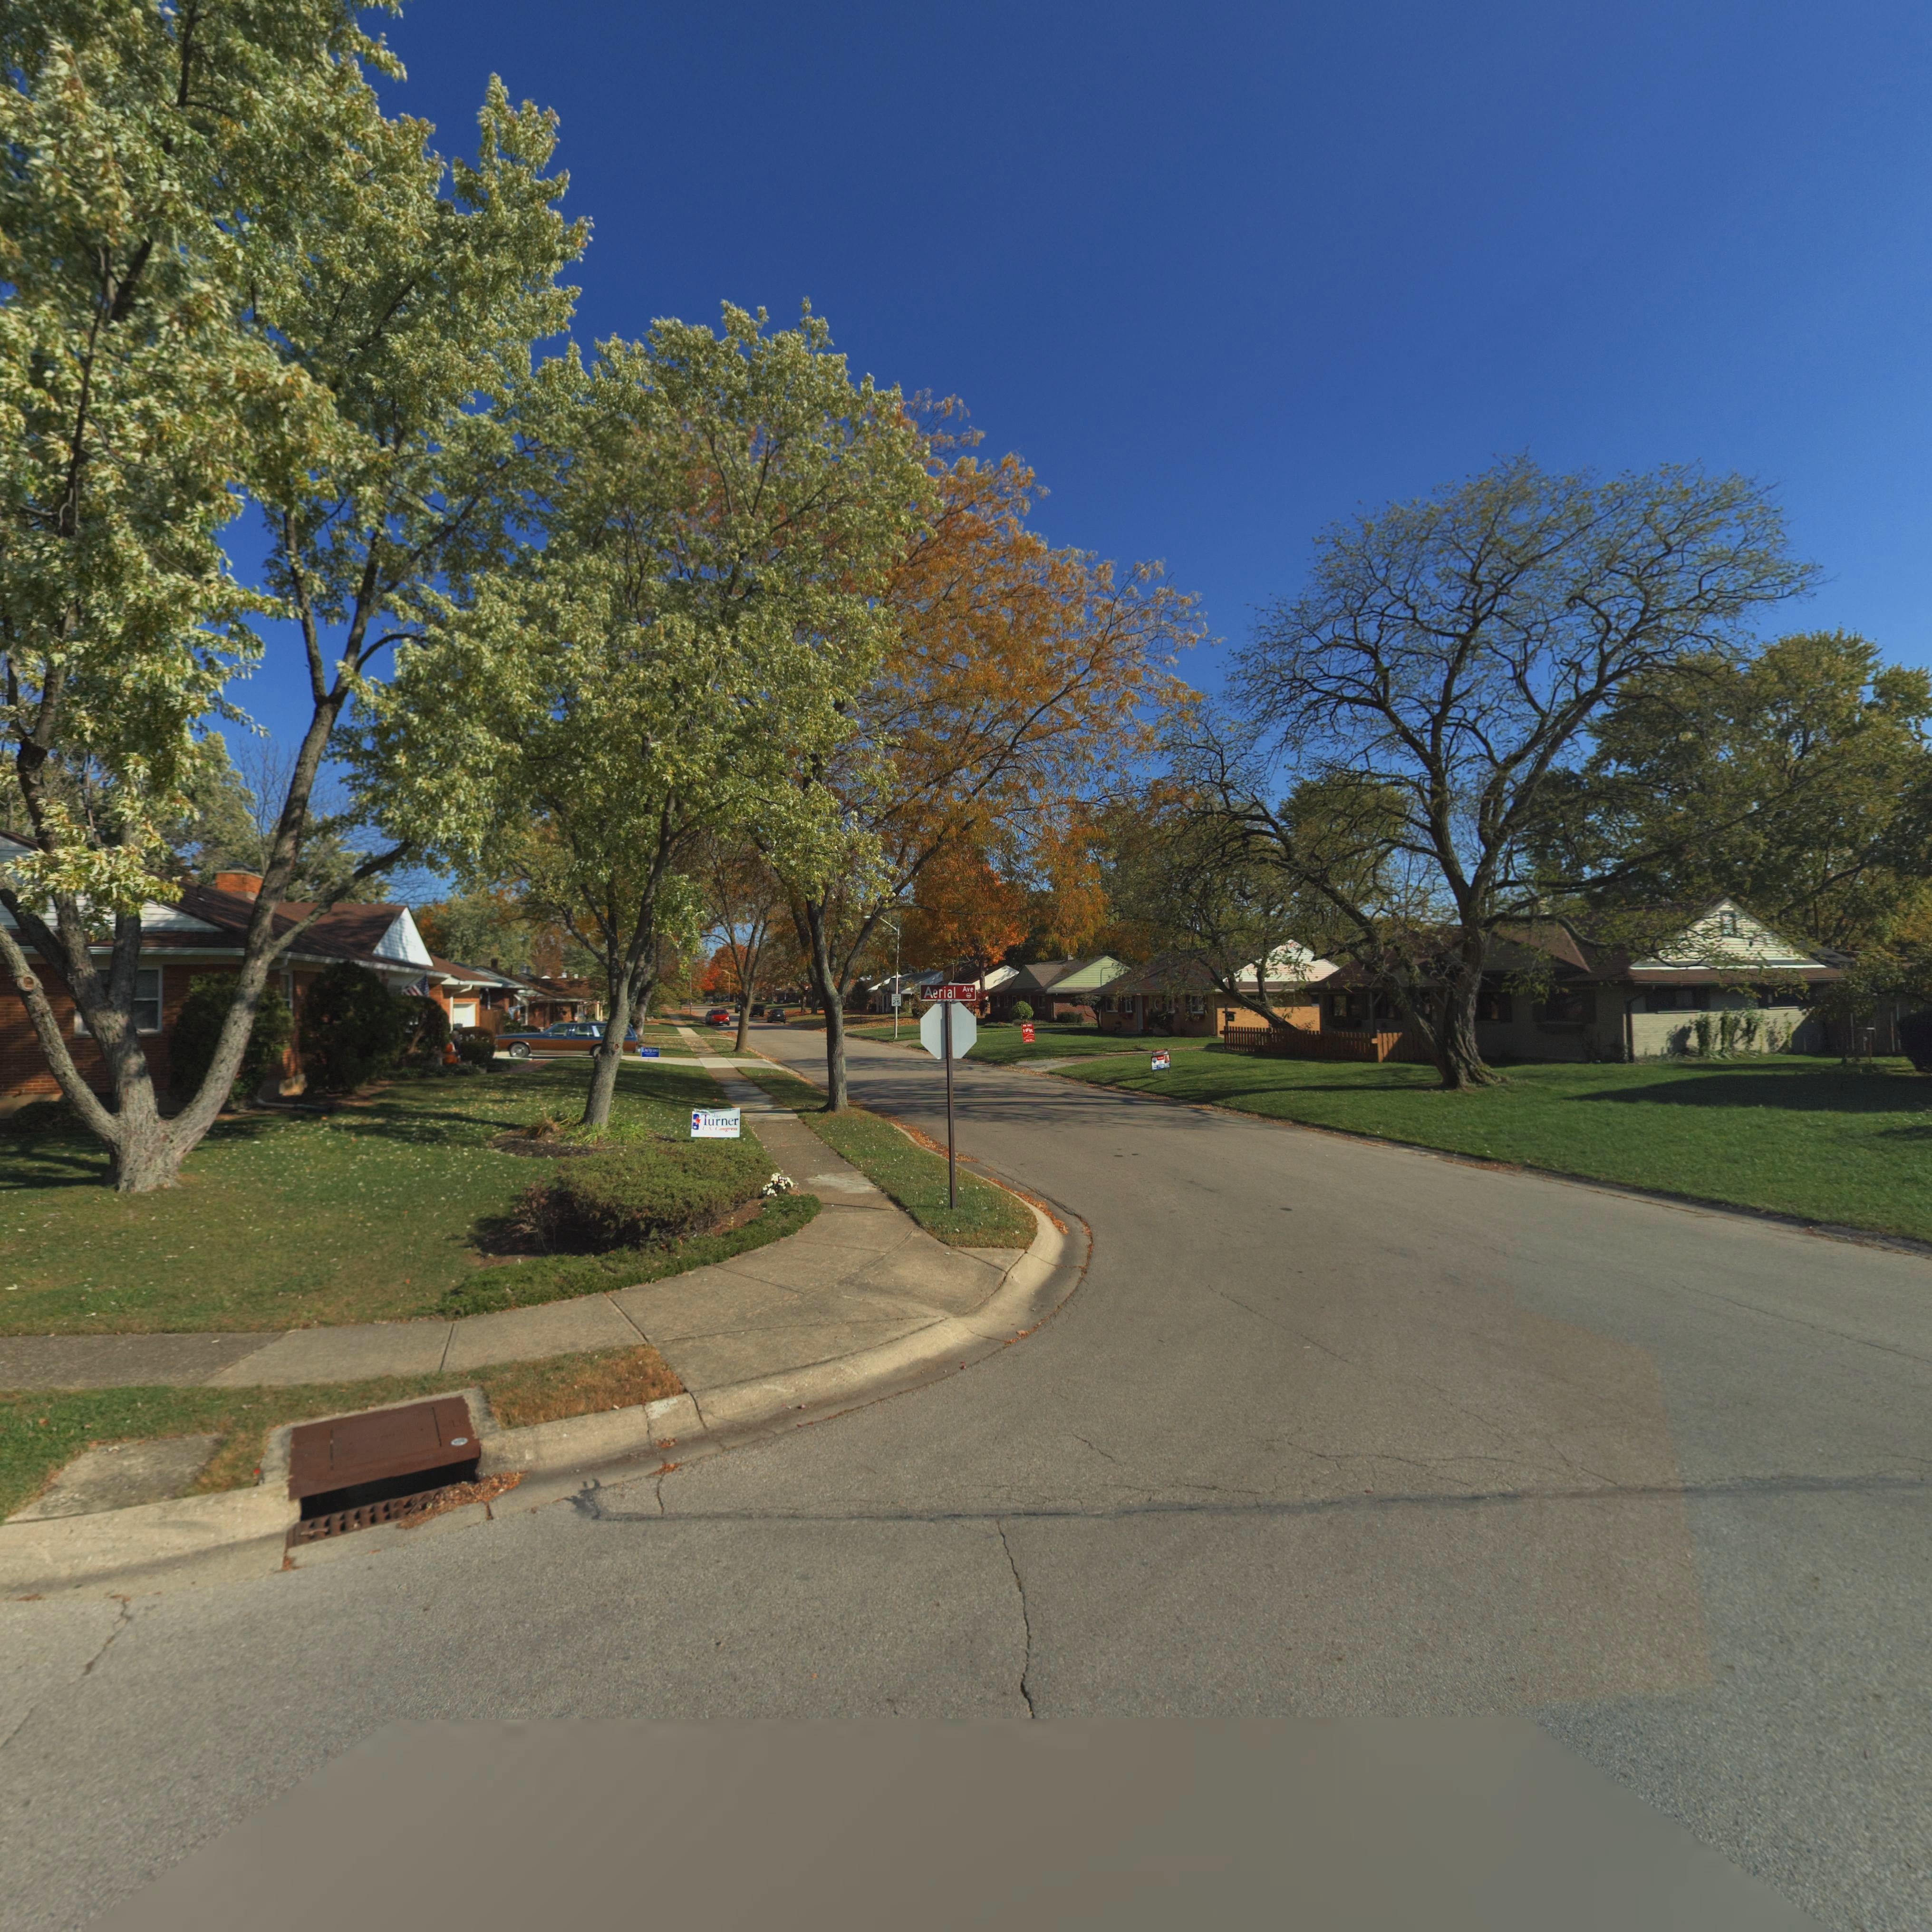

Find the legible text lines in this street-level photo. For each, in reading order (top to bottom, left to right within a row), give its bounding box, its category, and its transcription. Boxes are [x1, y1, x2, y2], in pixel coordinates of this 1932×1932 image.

[923, 985, 974, 999] StreetName: Aerial Ave
[892, 1000, 900, 1005] None: 25
[1023, 1029, 1034, 1033] None: H*R
[641, 1048, 645, 1053] None: D
[700, 1113, 739, 1126] None: Turner
[715, 1126, 738, 1133] None: Congress